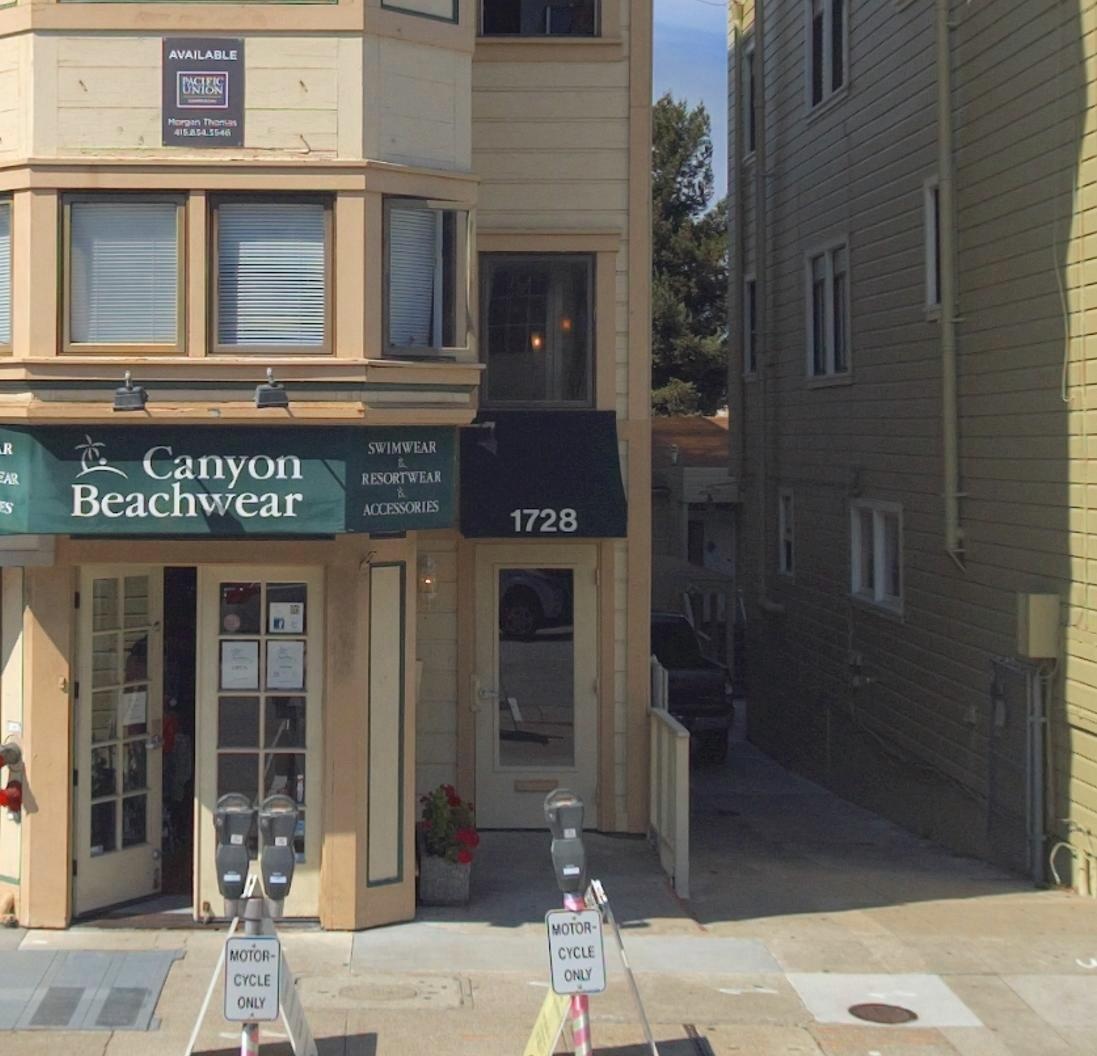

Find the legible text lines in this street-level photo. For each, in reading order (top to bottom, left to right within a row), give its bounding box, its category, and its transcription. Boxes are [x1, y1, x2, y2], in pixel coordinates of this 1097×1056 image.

[168, 49, 238, 61] None: AVAILABLE
[182, 76, 224, 85] BusinessName: PACIFIC
[182, 85, 224, 95] BusinessName: UNION
[167, 117, 201, 127] None: Morgan
[3, 441, 14, 455] None: R
[368, 440, 437, 455] None: SWIMWEAR
[142, 444, 304, 490] BusinessName: Canyon
[3, 471, 19, 486] None: AR
[361, 470, 442, 486] None: RESORTWEAR
[71, 482, 305, 518] BusinessName: Beachwear
[4, 501, 15, 515] None: S
[362, 499, 440, 517] None: ACCESSORIES
[509, 507, 579, 533] StreetNumber: 1728
[276, 619, 284, 630] None: f
[551, 921, 598, 937] None: MOTOR-
[229, 949, 276, 963] None: MOTOR-
[558, 945, 596, 961] None: CYCLE
[234, 972, 271, 988] None: CYCLE
[563, 967, 593, 982] None: ONLY
[236, 996, 266, 1009] None: ONLY